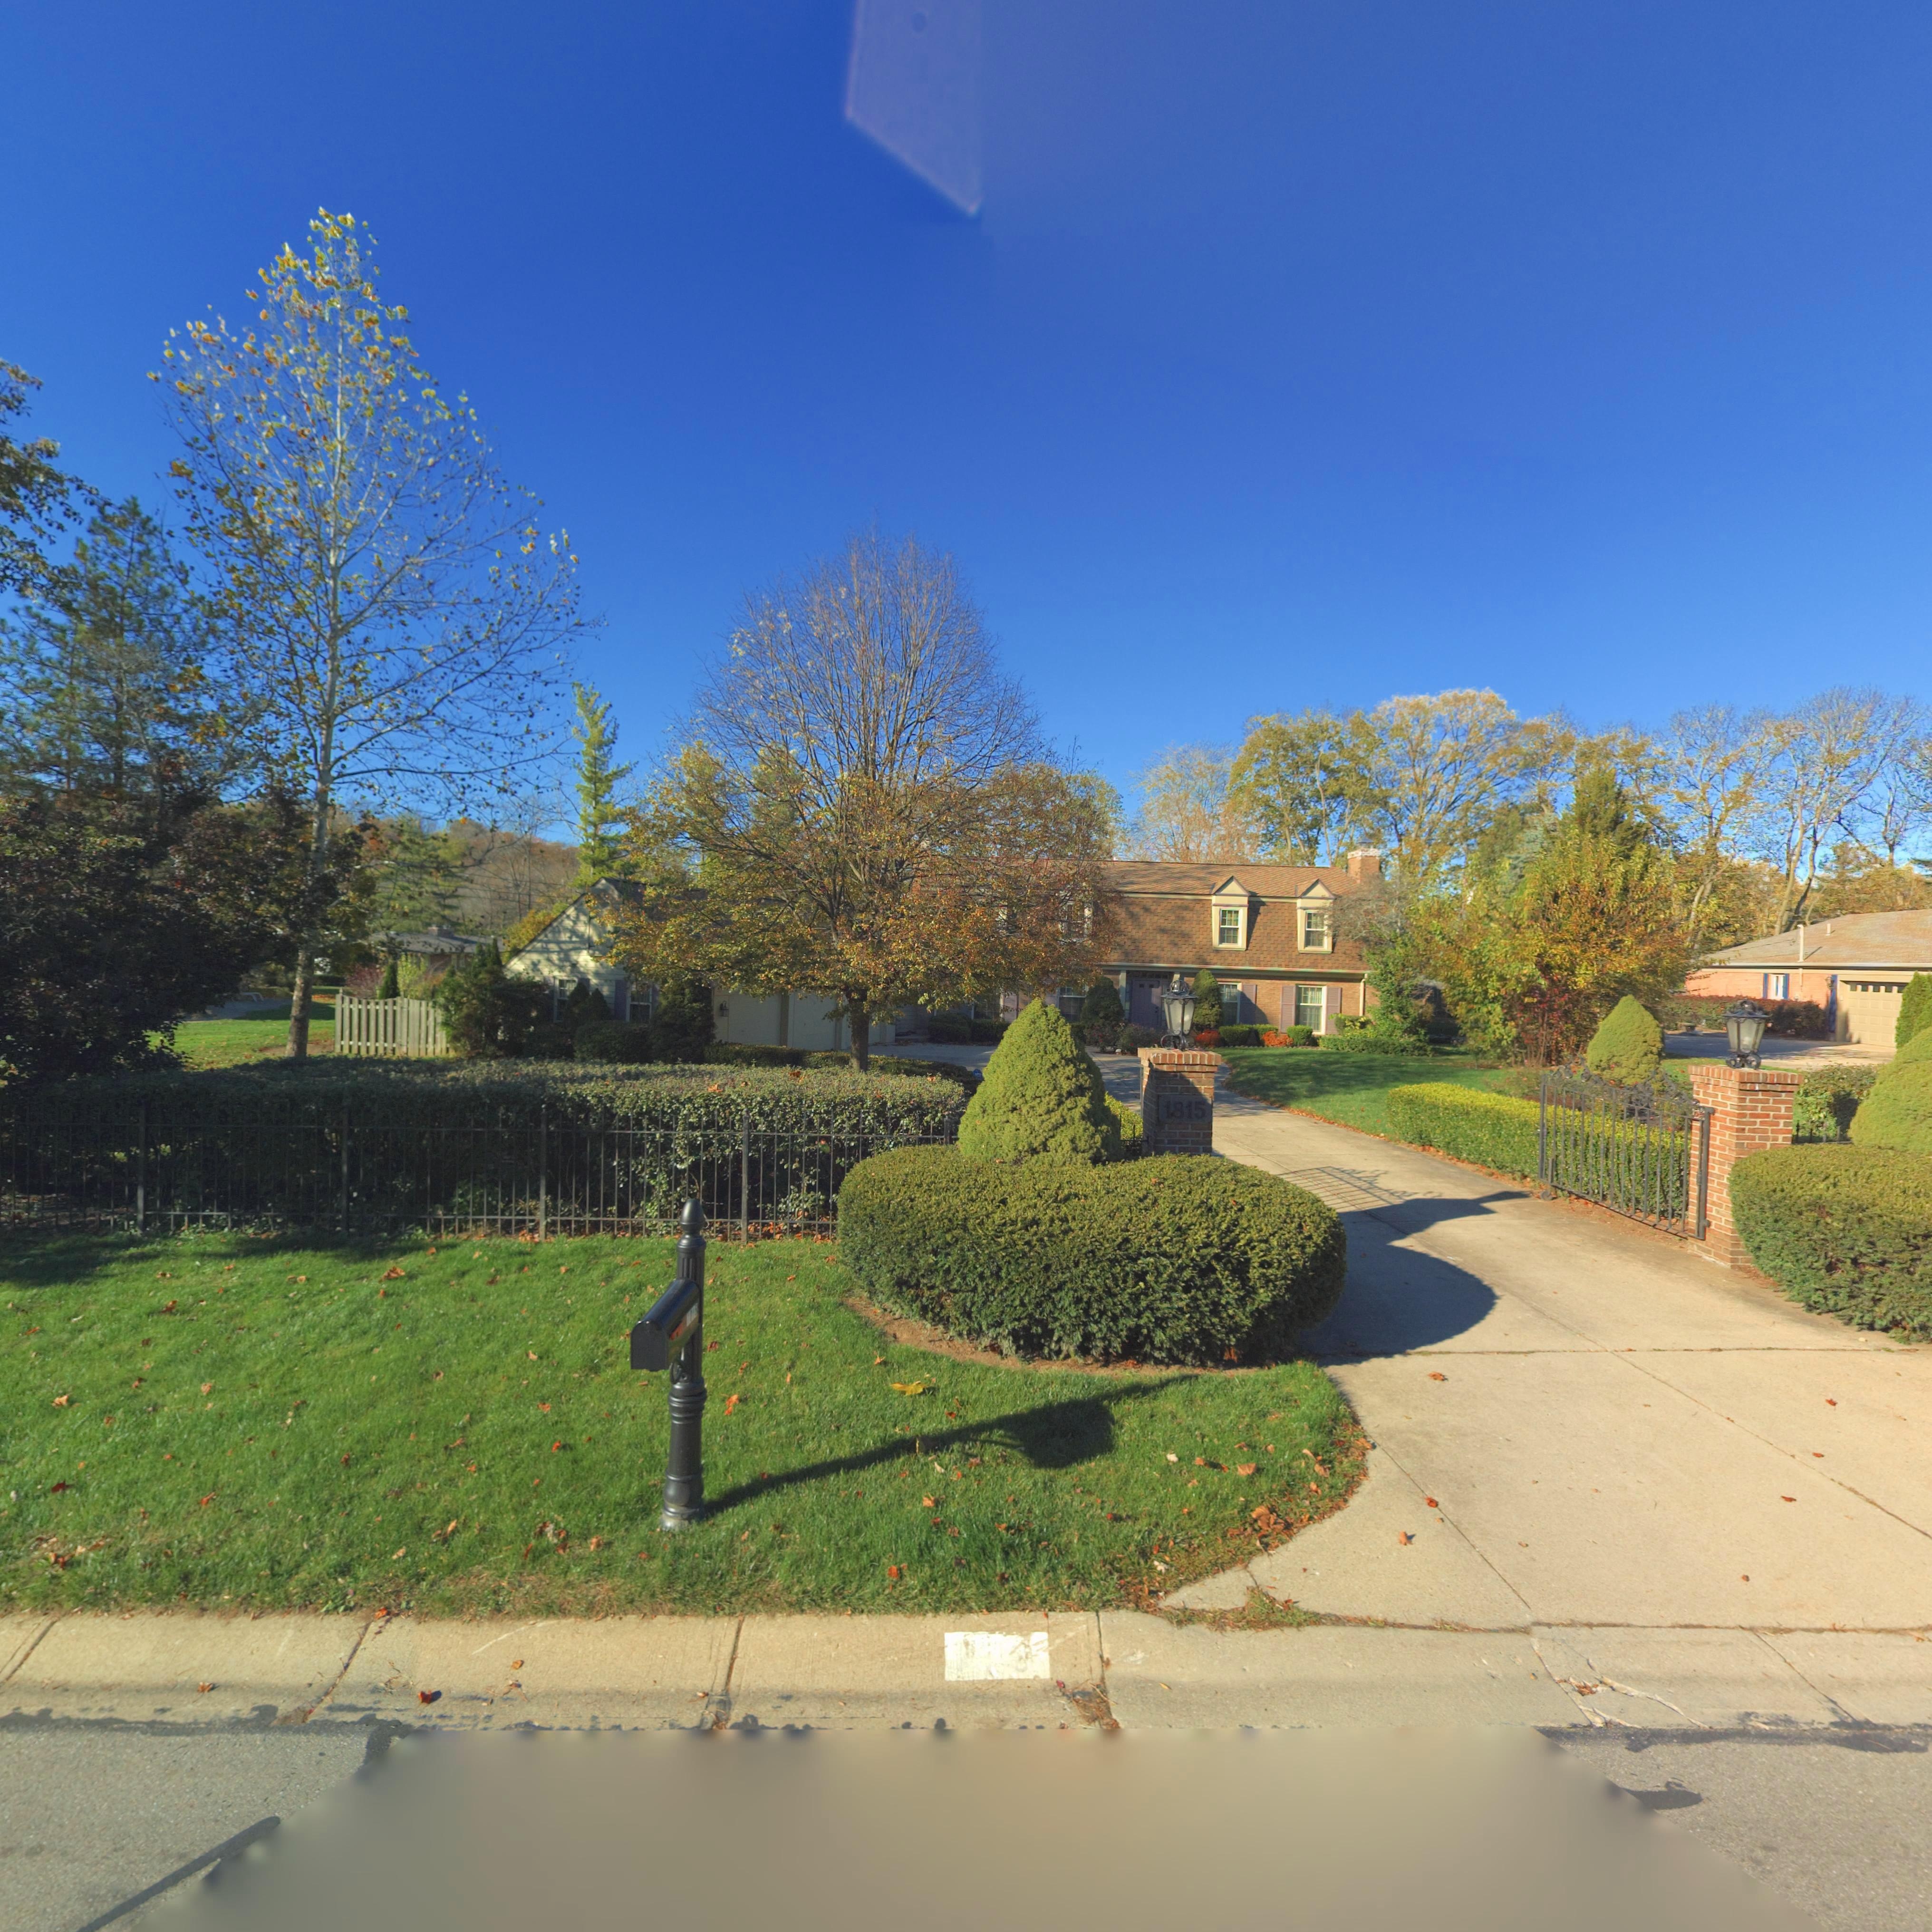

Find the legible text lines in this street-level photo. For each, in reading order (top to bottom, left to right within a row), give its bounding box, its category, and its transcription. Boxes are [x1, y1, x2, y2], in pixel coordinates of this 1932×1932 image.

[1163, 1100, 1208, 1120] StreetNumber: 1815